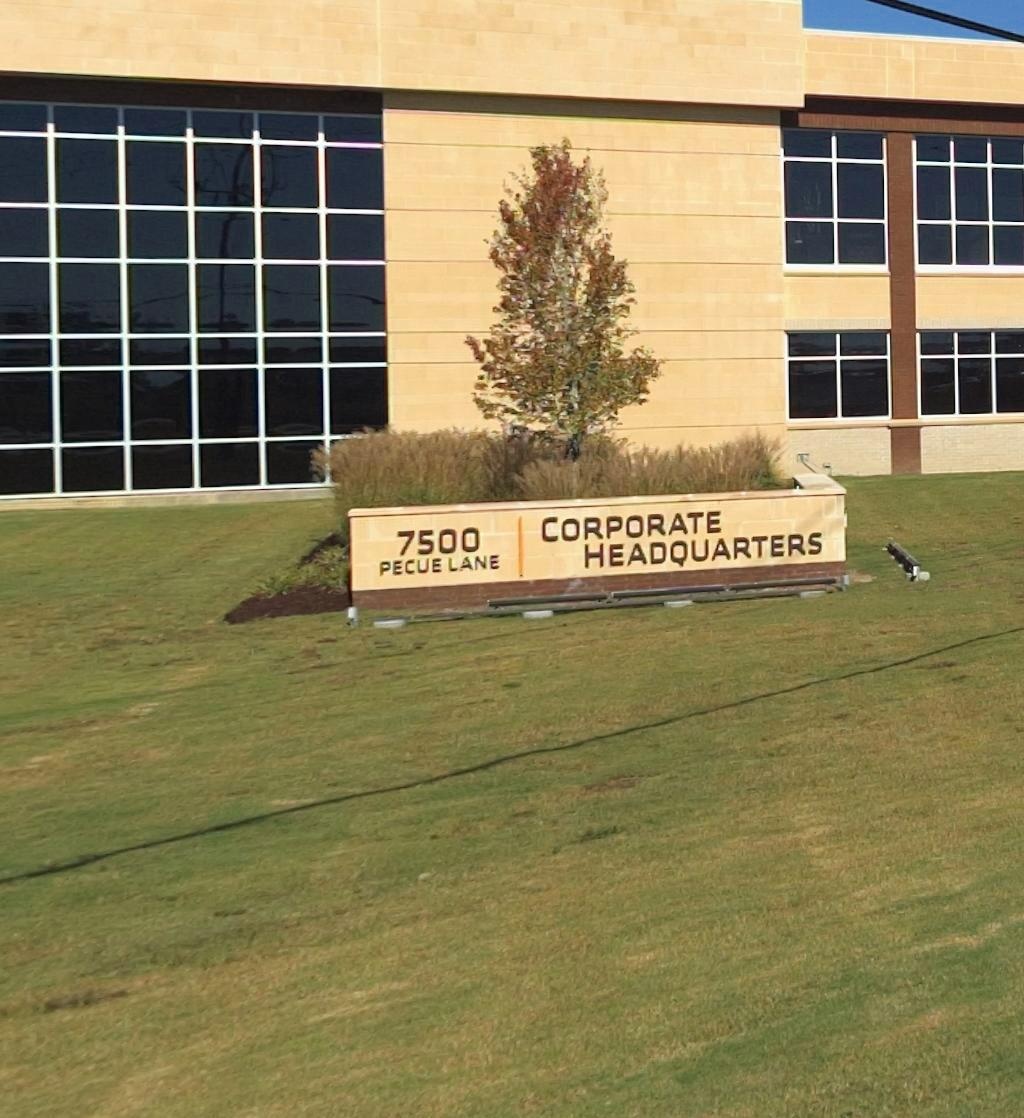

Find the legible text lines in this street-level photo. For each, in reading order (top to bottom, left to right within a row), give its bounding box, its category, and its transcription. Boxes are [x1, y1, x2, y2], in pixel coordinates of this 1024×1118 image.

[396, 526, 480, 557] StreetNumber: 7500
[379, 554, 500, 577] StreetName: PECUE LANE
[541, 510, 722, 543] None: CORPORATE
[583, 531, 822, 570] None: HEADQUARTERS